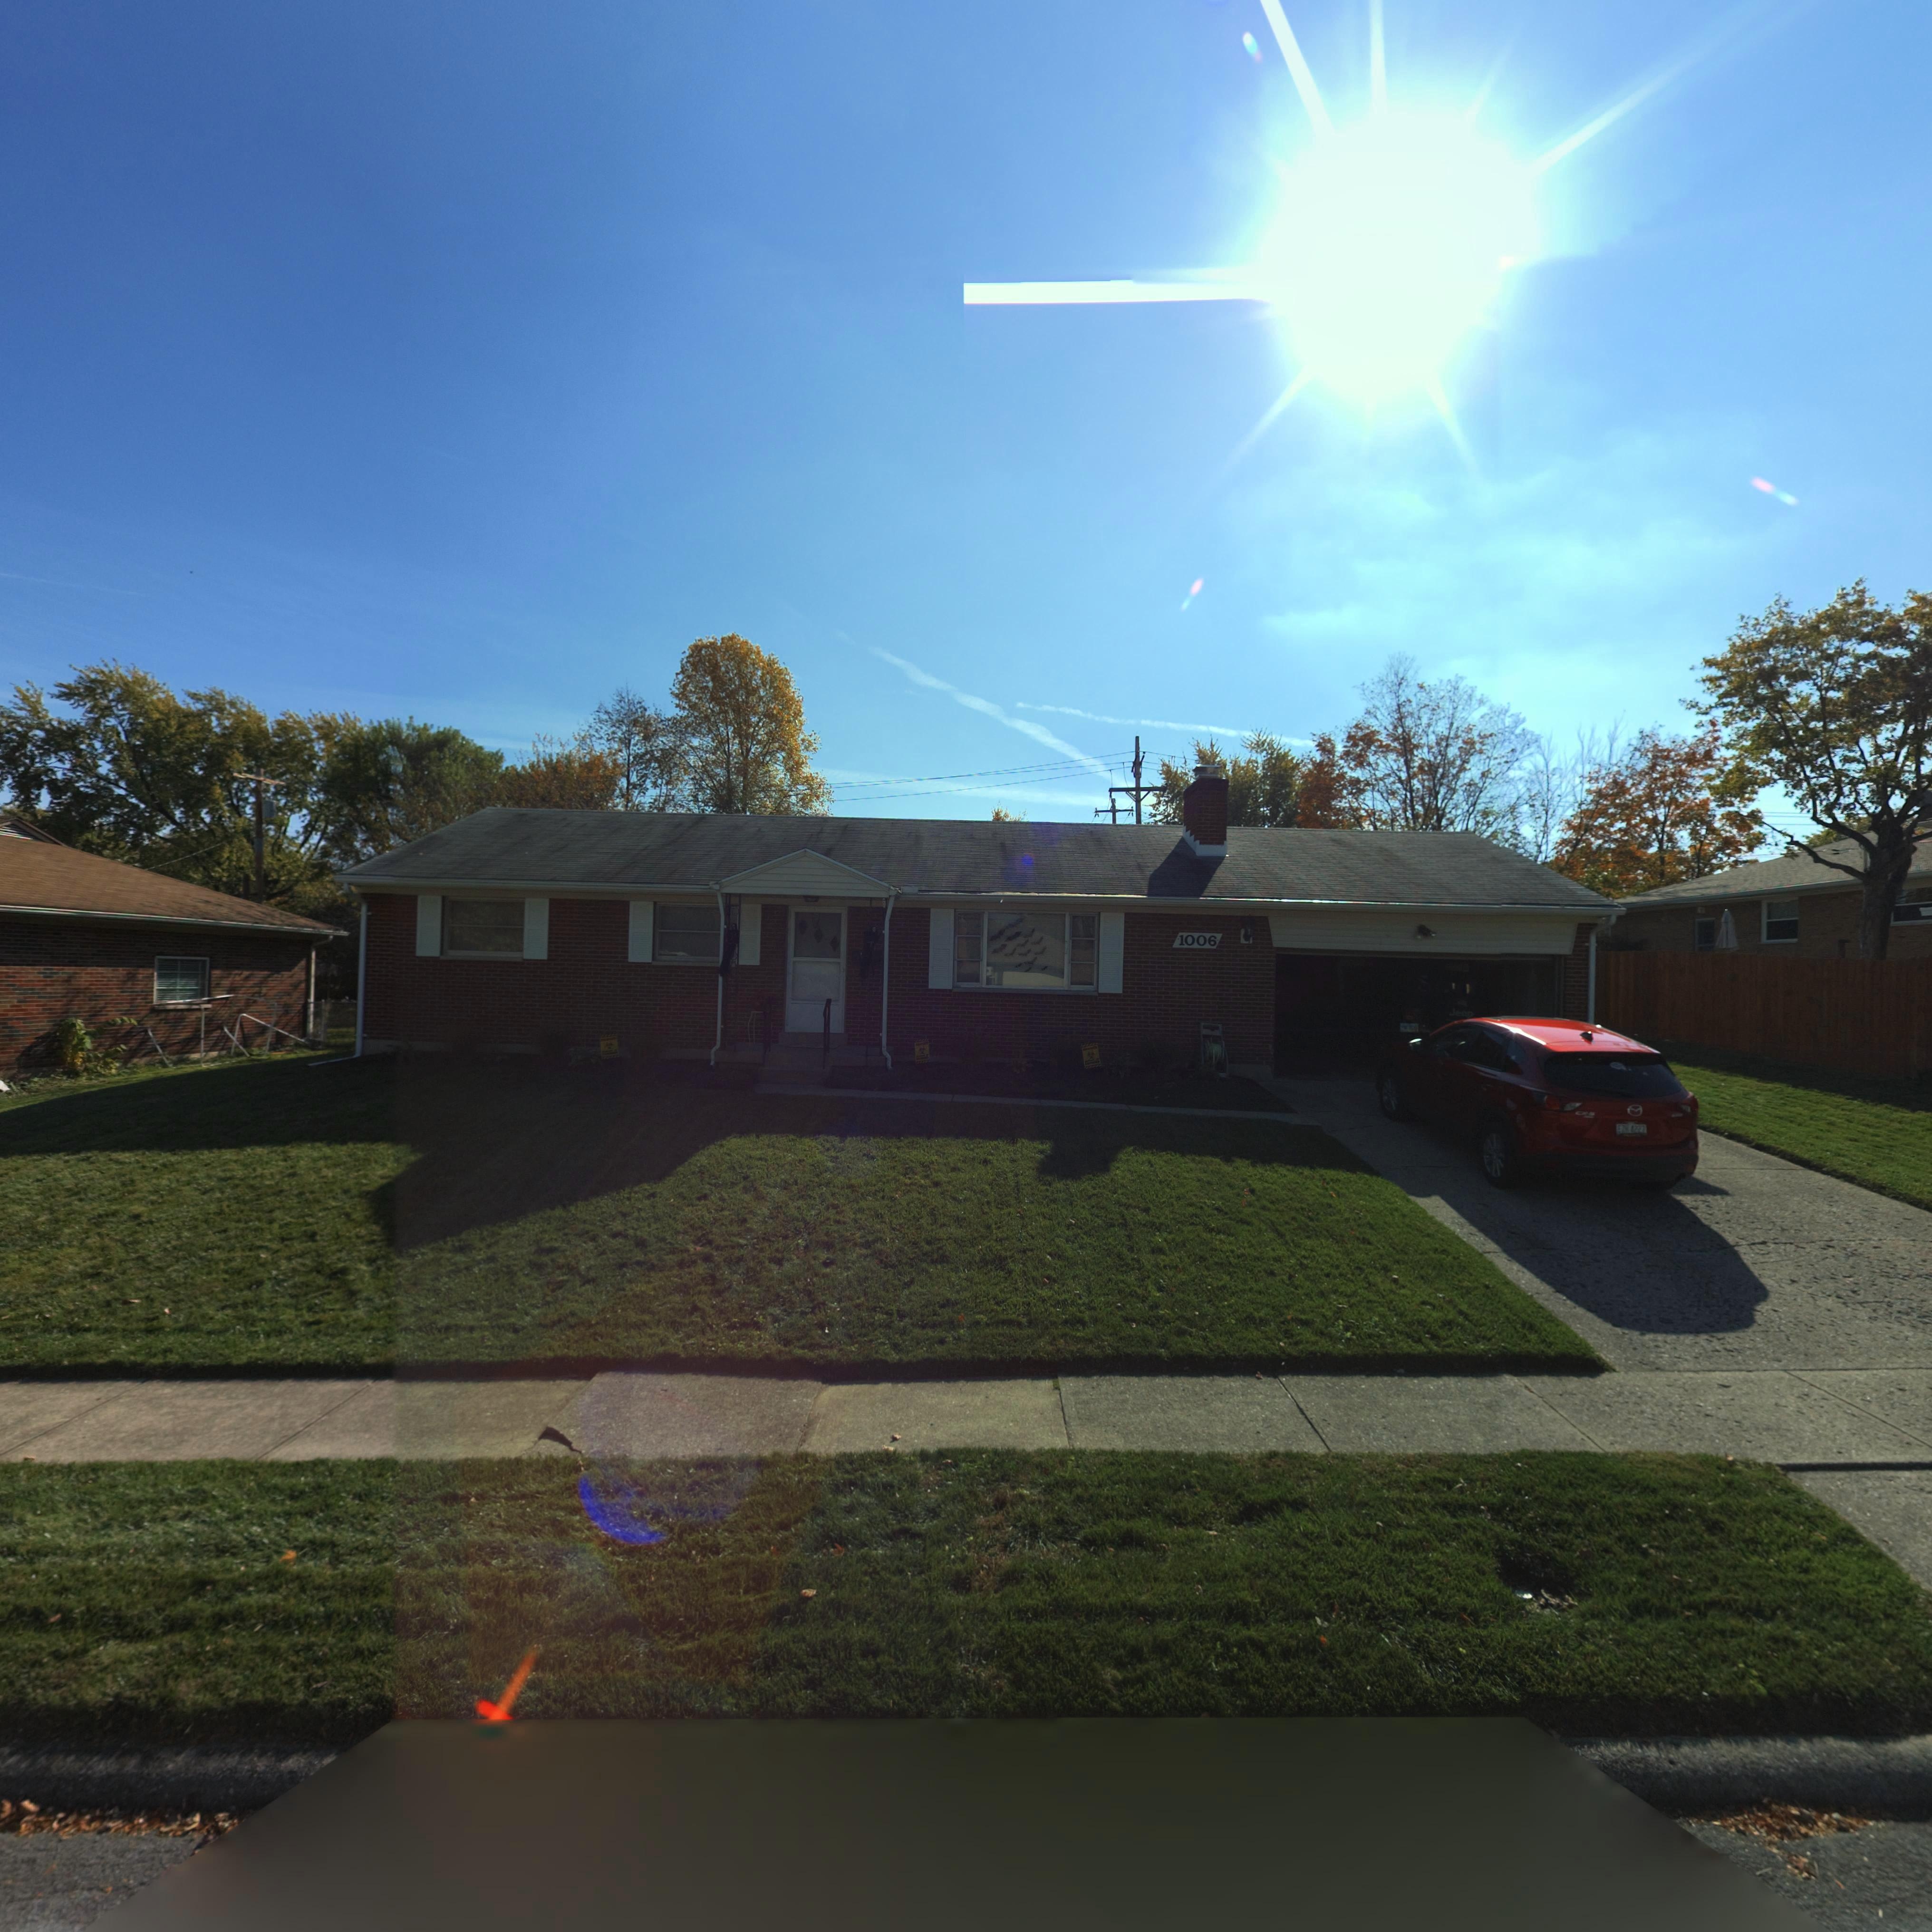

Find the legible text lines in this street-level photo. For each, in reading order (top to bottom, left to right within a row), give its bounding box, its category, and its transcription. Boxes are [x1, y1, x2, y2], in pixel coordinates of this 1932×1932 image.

[1178, 932, 1218, 947] StreetNumber: 1006